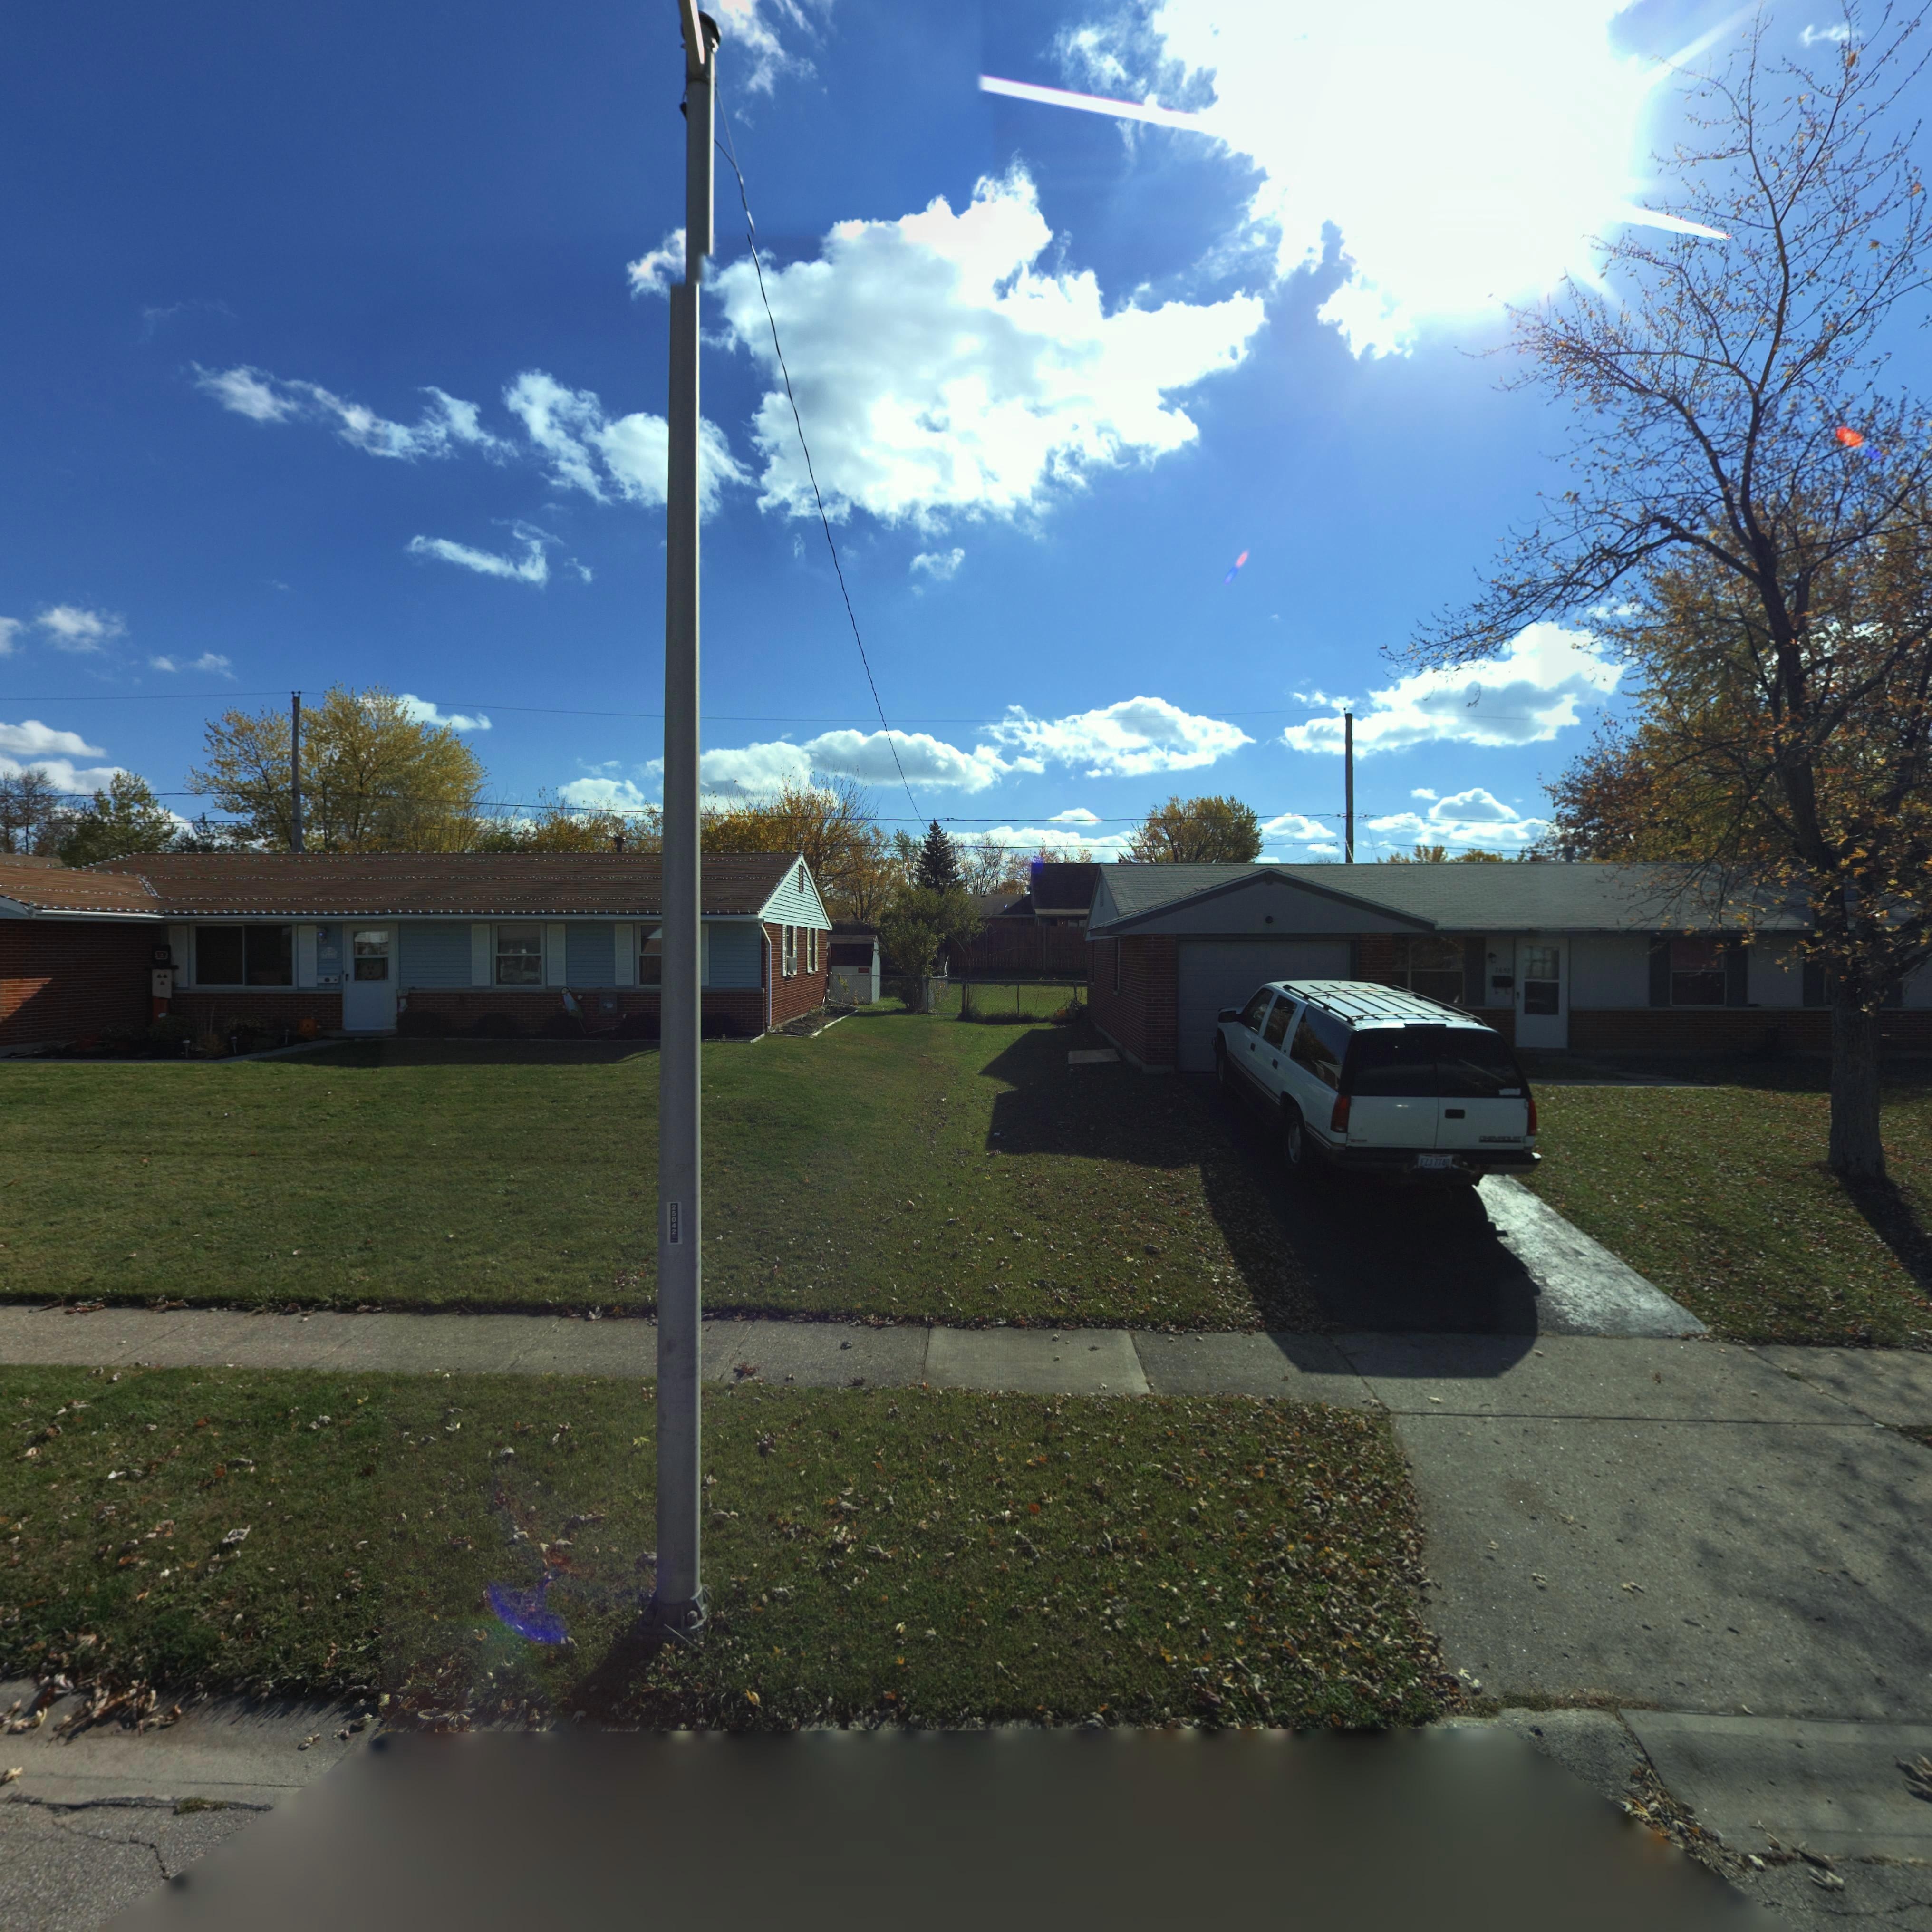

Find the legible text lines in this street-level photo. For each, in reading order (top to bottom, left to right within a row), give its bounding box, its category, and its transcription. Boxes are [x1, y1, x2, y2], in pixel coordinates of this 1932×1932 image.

[323, 953, 329, 959] StreetNumber: 76
[1494, 967, 1511, 974] StreetNumber: 76**